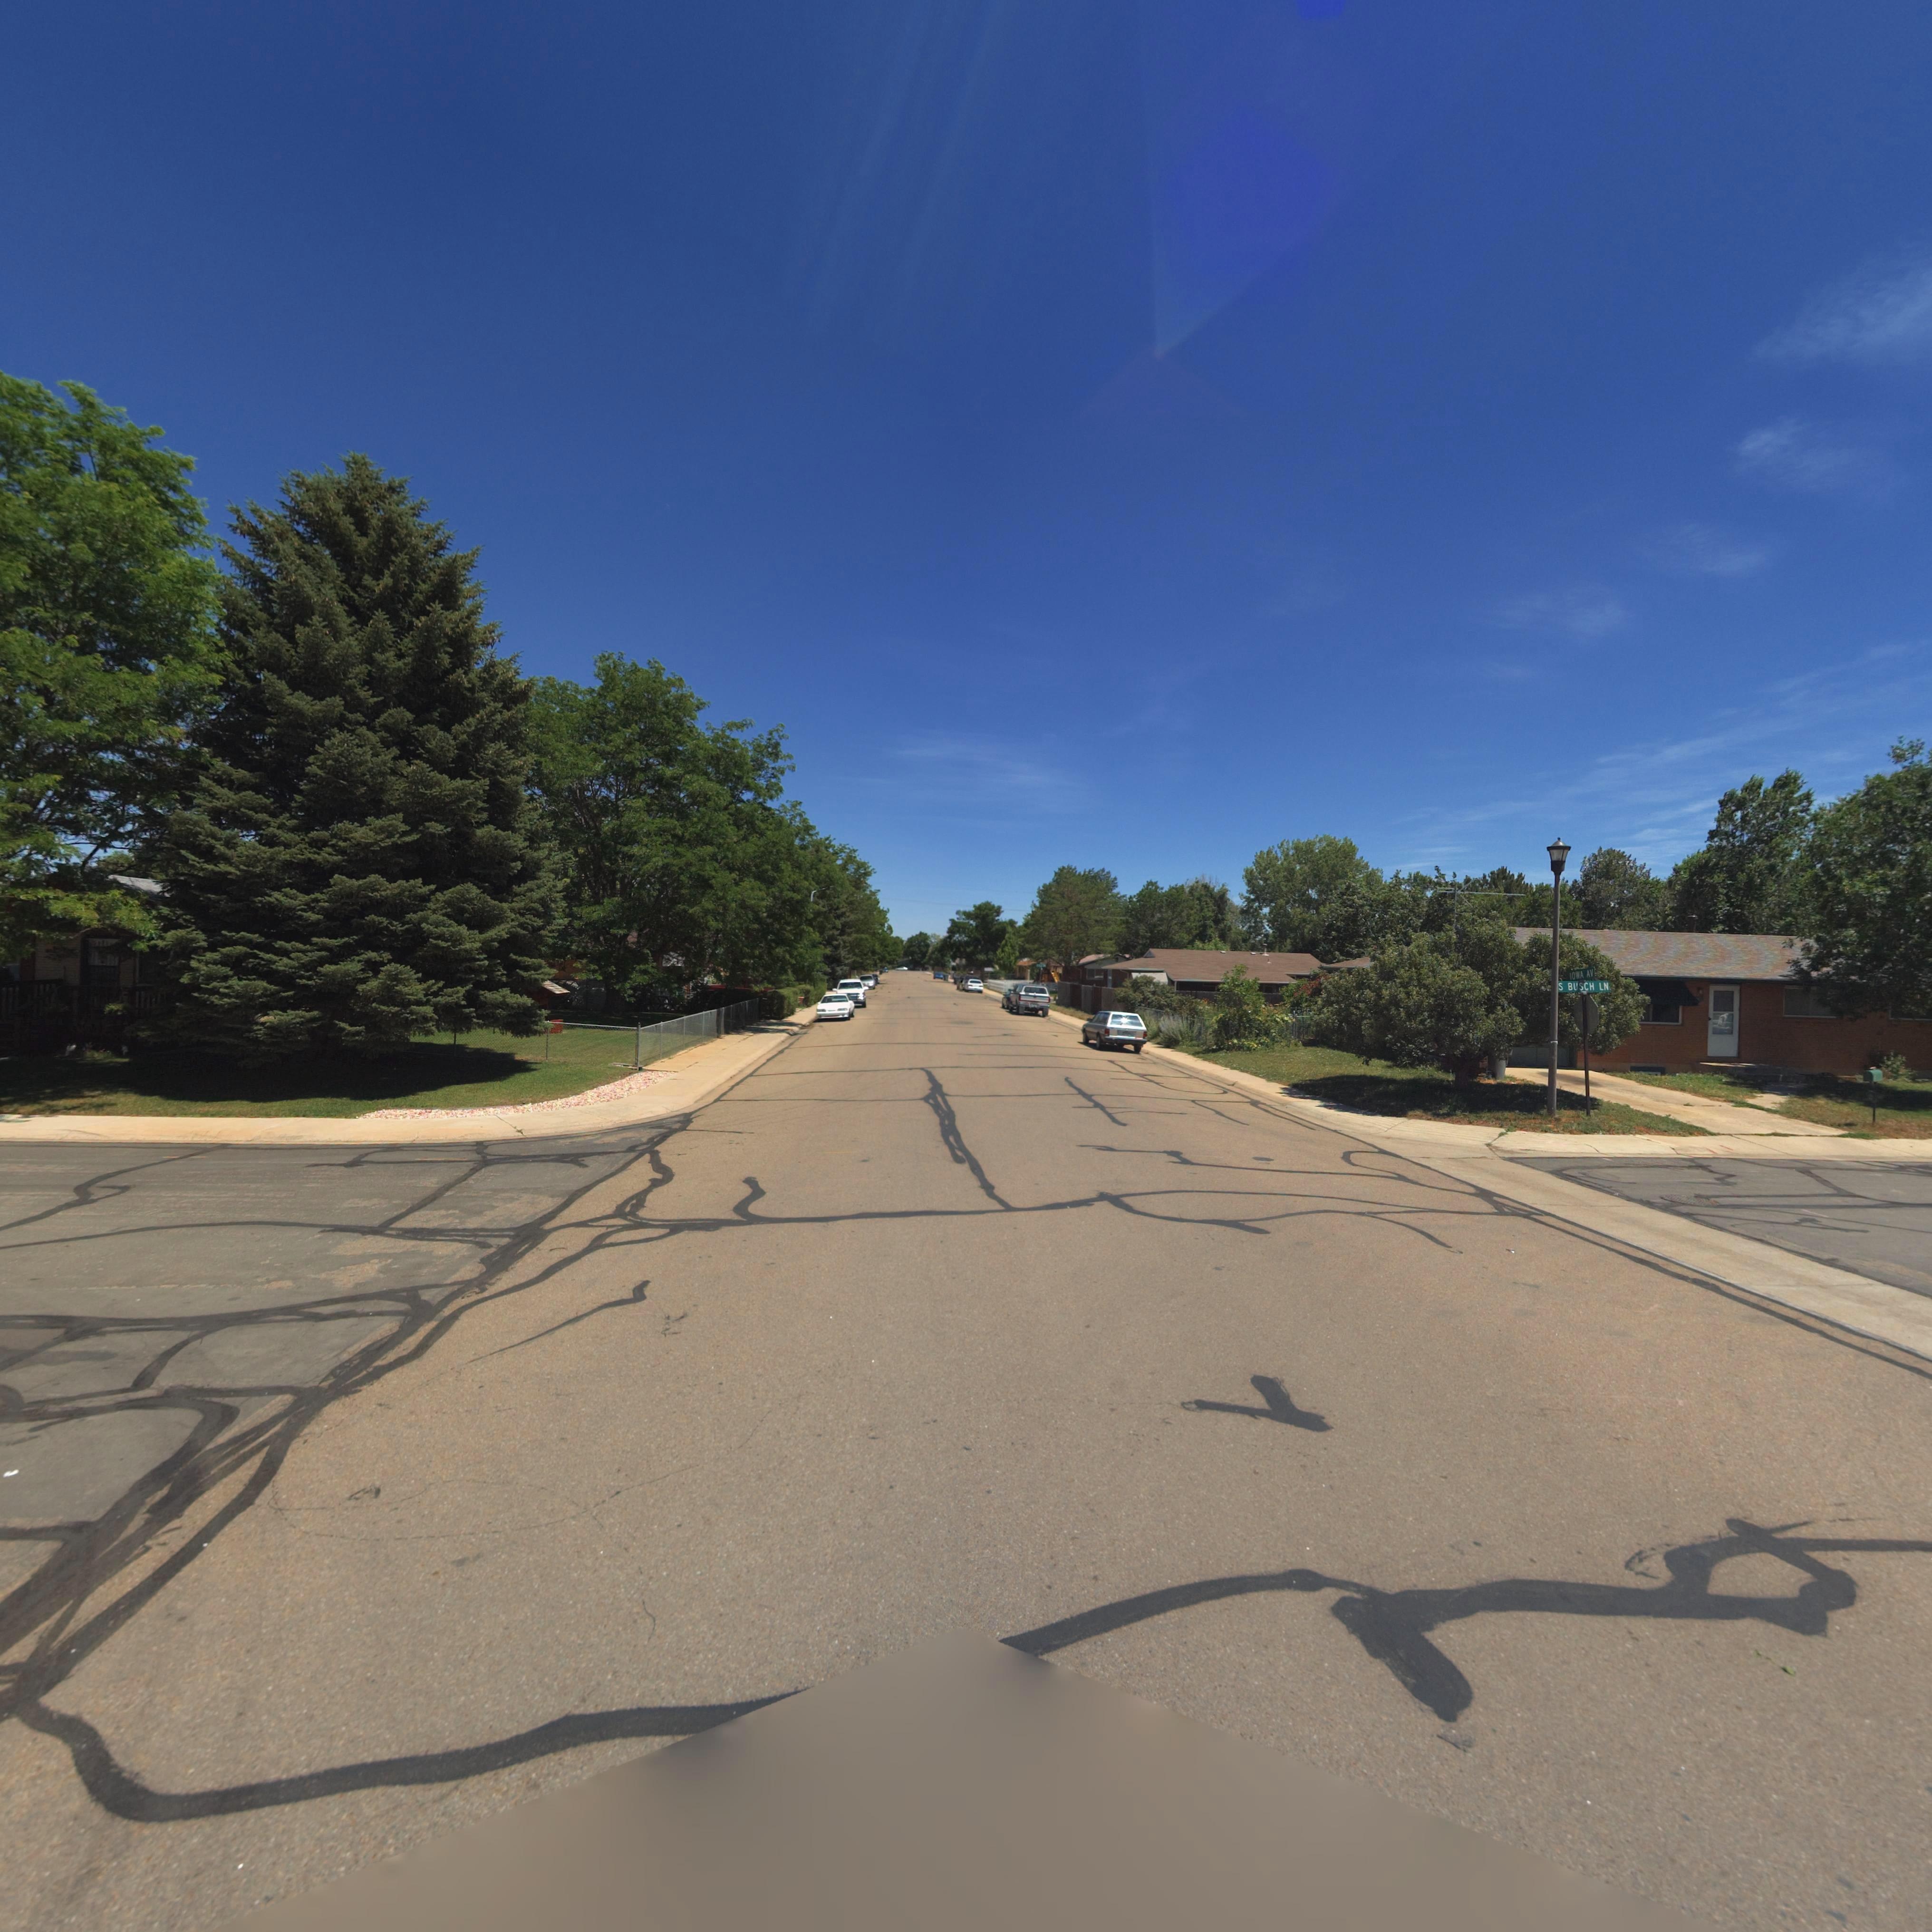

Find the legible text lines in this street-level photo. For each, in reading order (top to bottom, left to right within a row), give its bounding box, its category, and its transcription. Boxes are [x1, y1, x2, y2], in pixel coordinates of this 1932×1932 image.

[1569, 968, 1593, 980] StreetName: IOWA AV
[1558, 982, 1608, 991] StreetName: S BUSCH LN